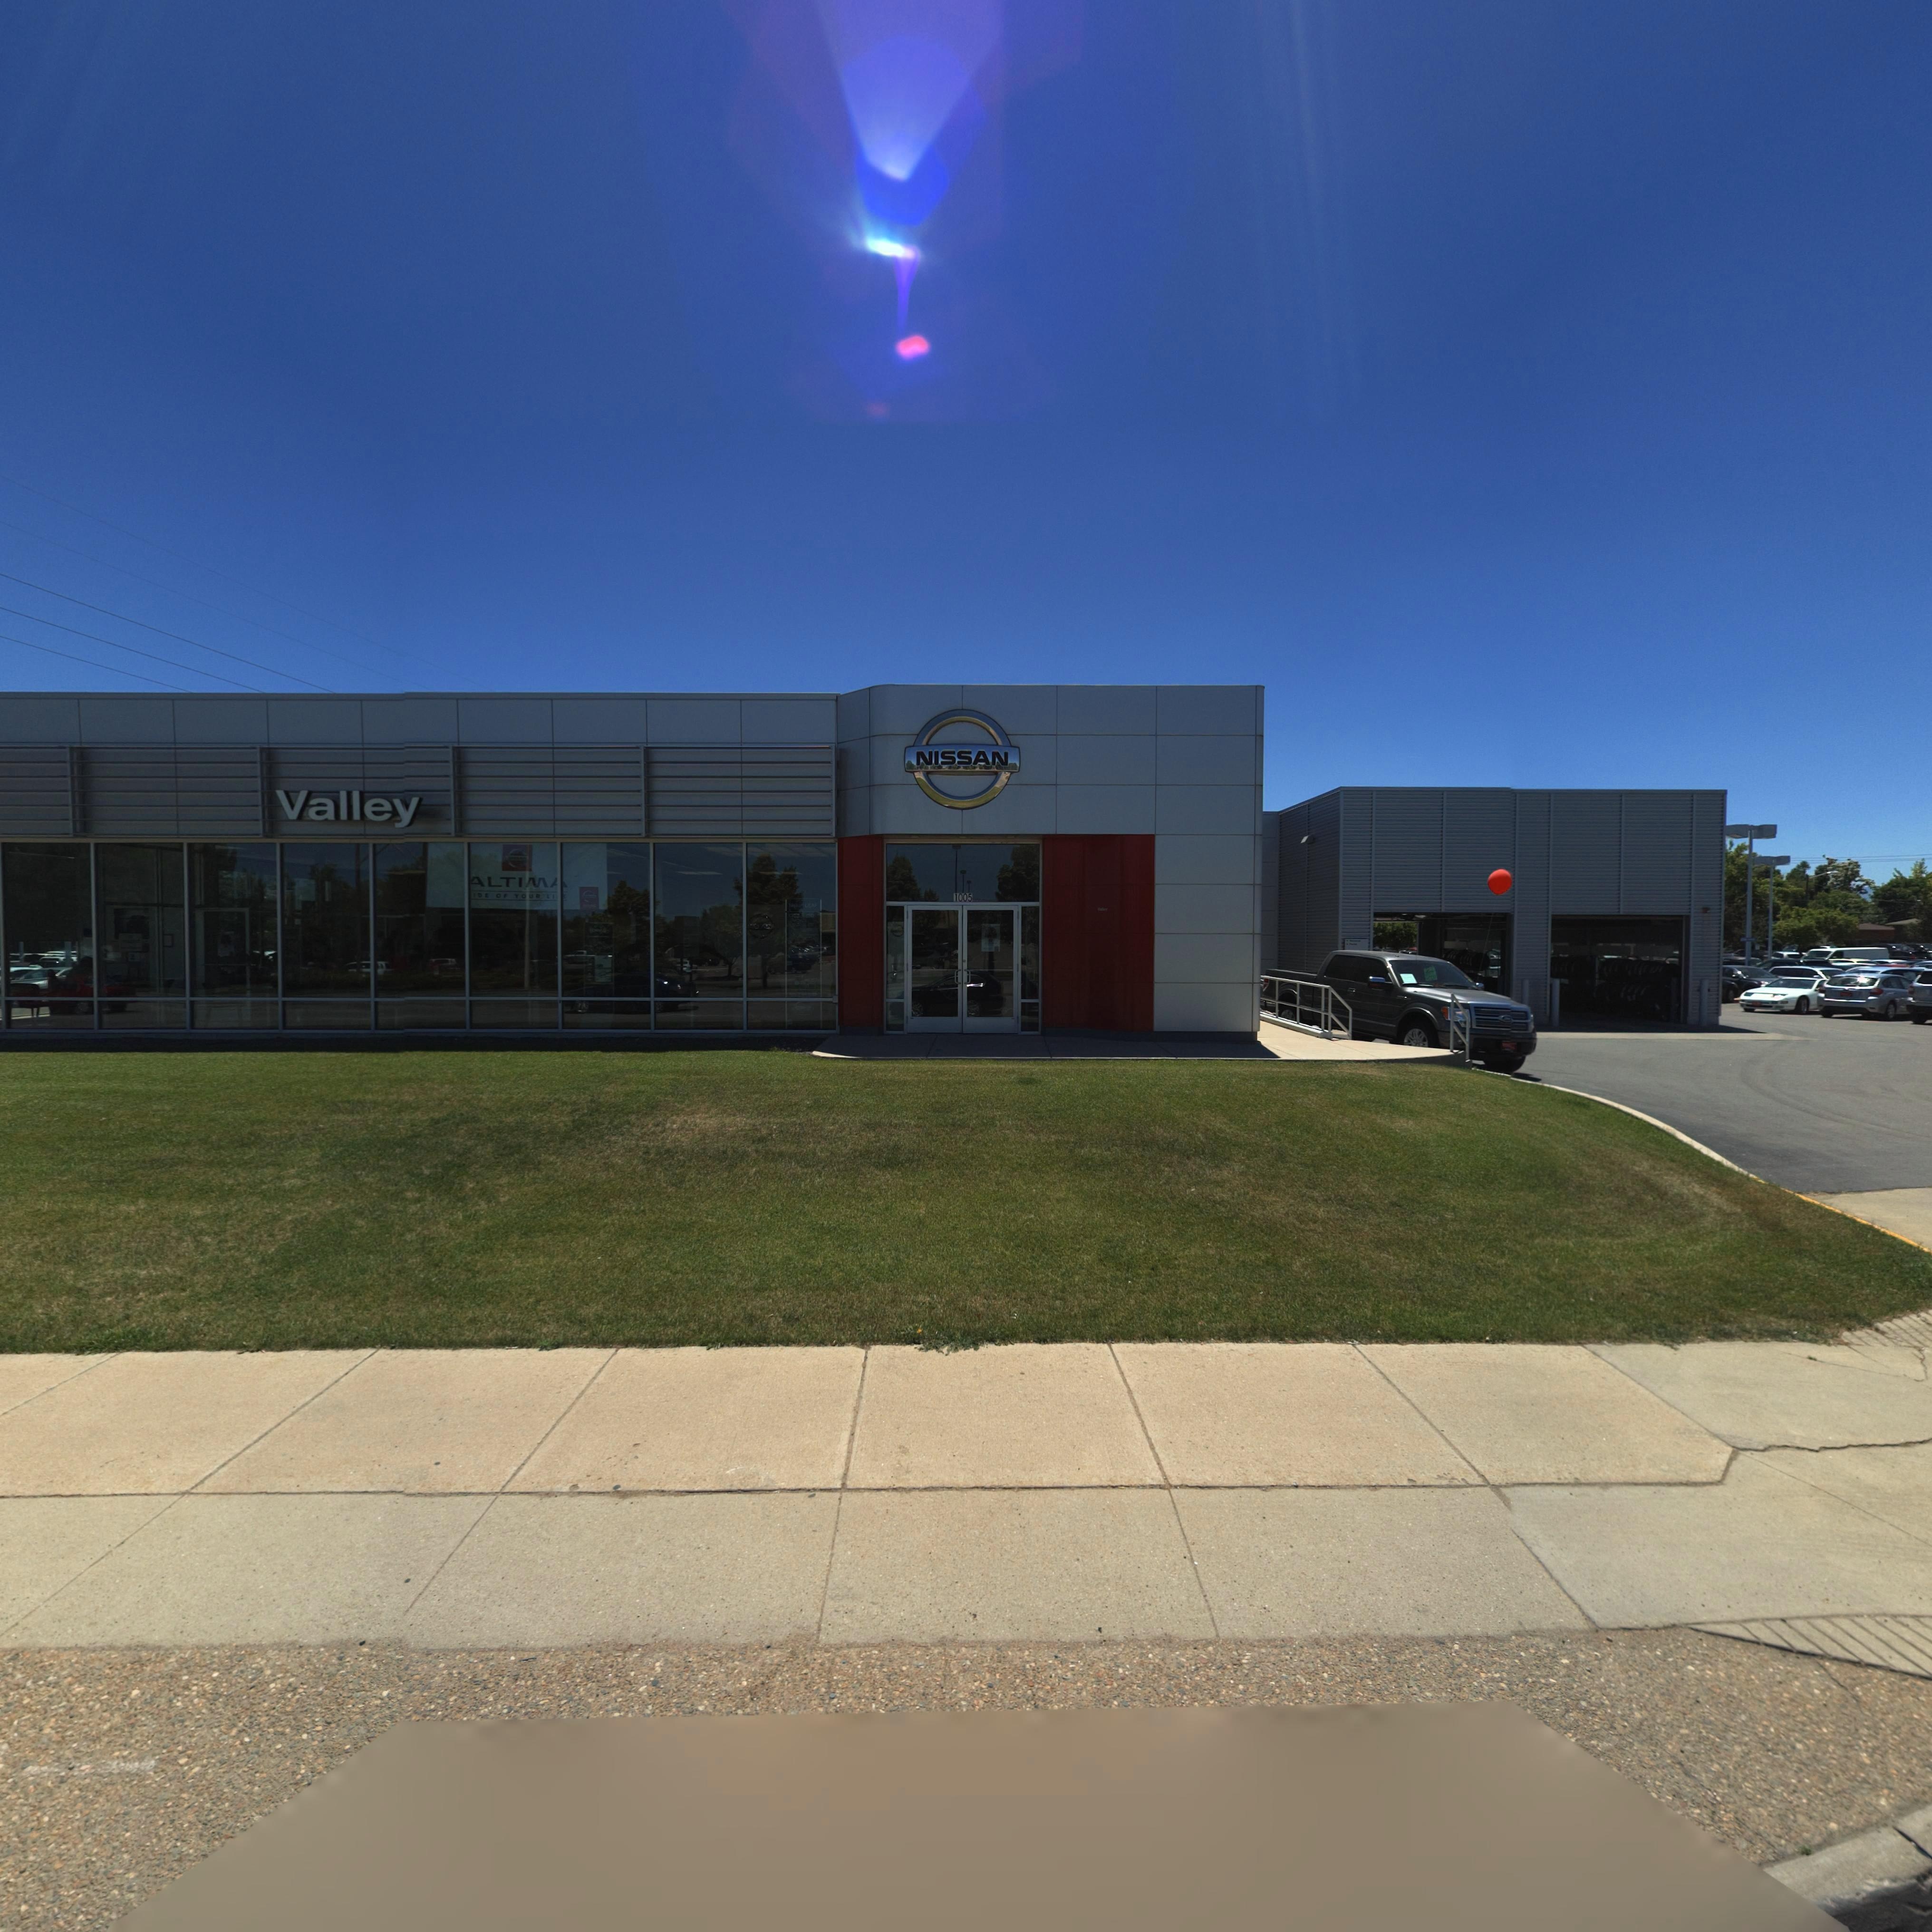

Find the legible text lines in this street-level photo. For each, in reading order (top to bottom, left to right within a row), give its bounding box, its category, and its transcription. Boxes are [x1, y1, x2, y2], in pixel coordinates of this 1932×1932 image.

[915, 748, 1009, 767] BusinessName: NISSAN
[271, 789, 423, 830] BusinessName: Valley
[955, 893, 972, 902] StreetNumber: 1005